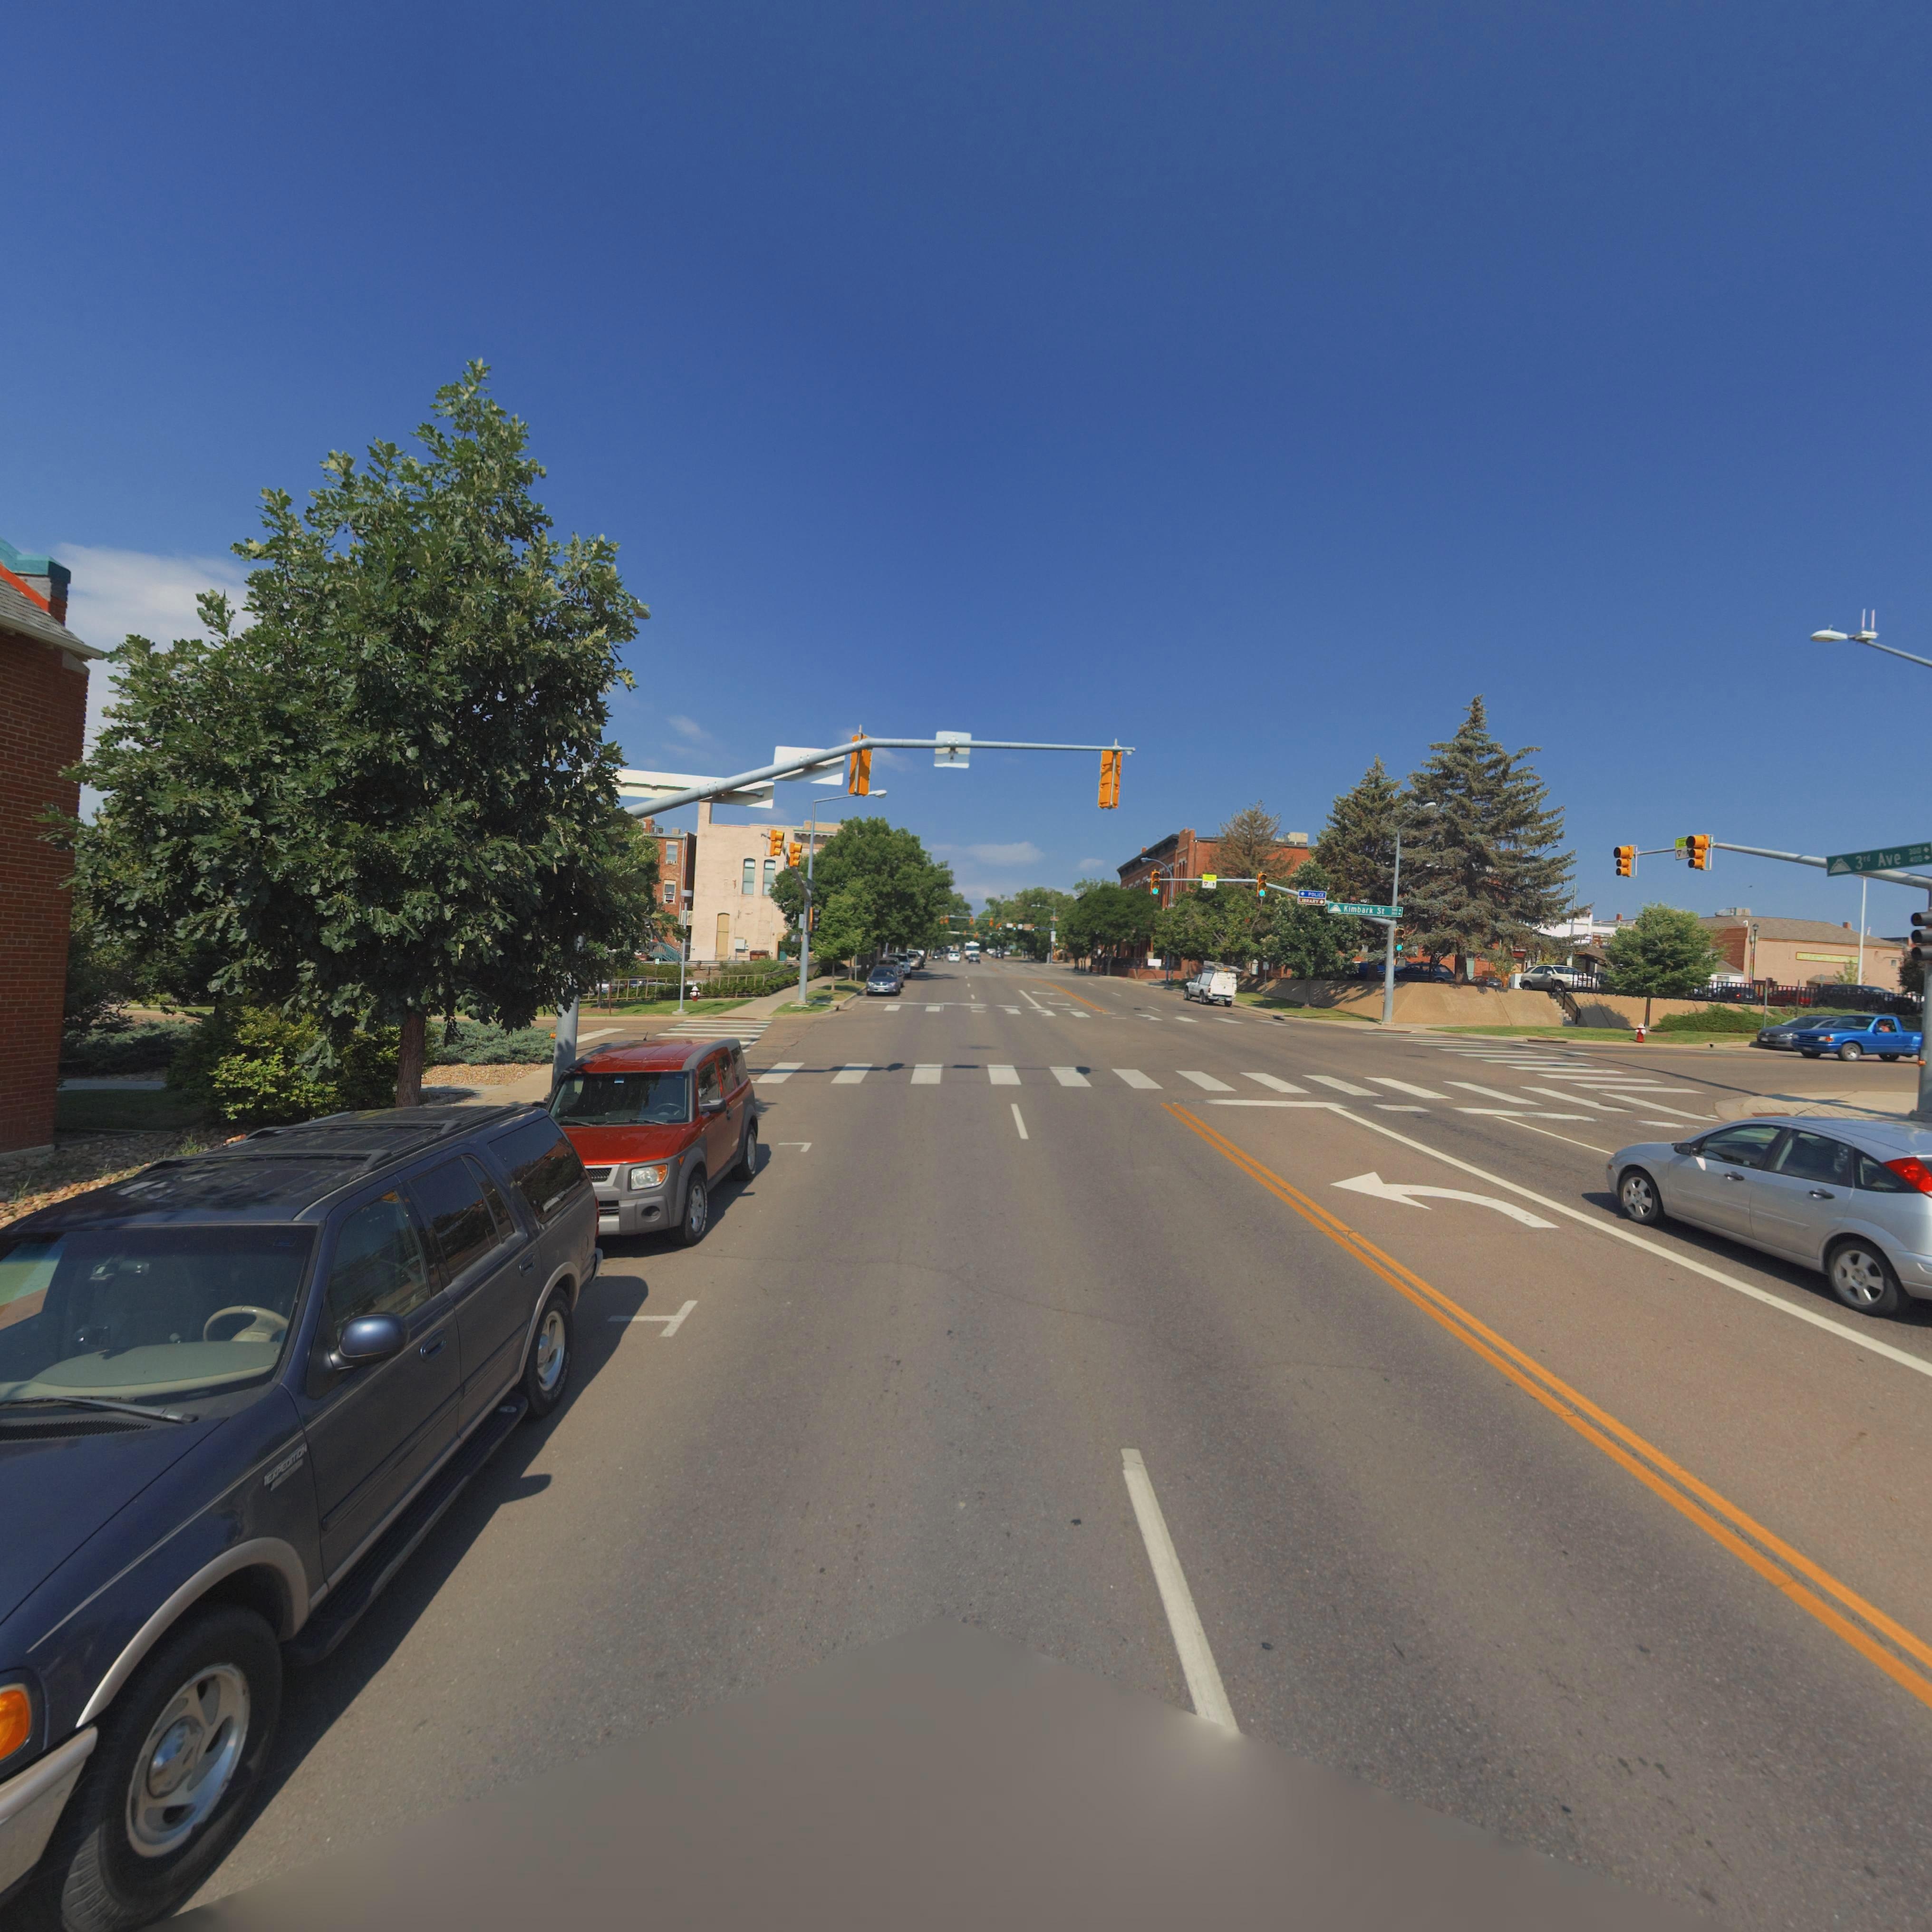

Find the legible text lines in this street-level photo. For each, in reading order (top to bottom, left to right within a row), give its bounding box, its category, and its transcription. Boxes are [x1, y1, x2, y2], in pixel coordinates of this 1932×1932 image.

[1908, 847, 1921, 855] StreetNumberRange: 30*
[1855, 852, 1901, 870] StreetName: 3rd Ave
[1909, 855, 1922, 862] StreetNumberRange: **0
[1343, 905, 1385, 914] StreetName: Kimbark St
[1391, 911, 1397, 915] StreetNumberRange: *00
[1391, 908, 1398, 911] StreetNumberRange: **0